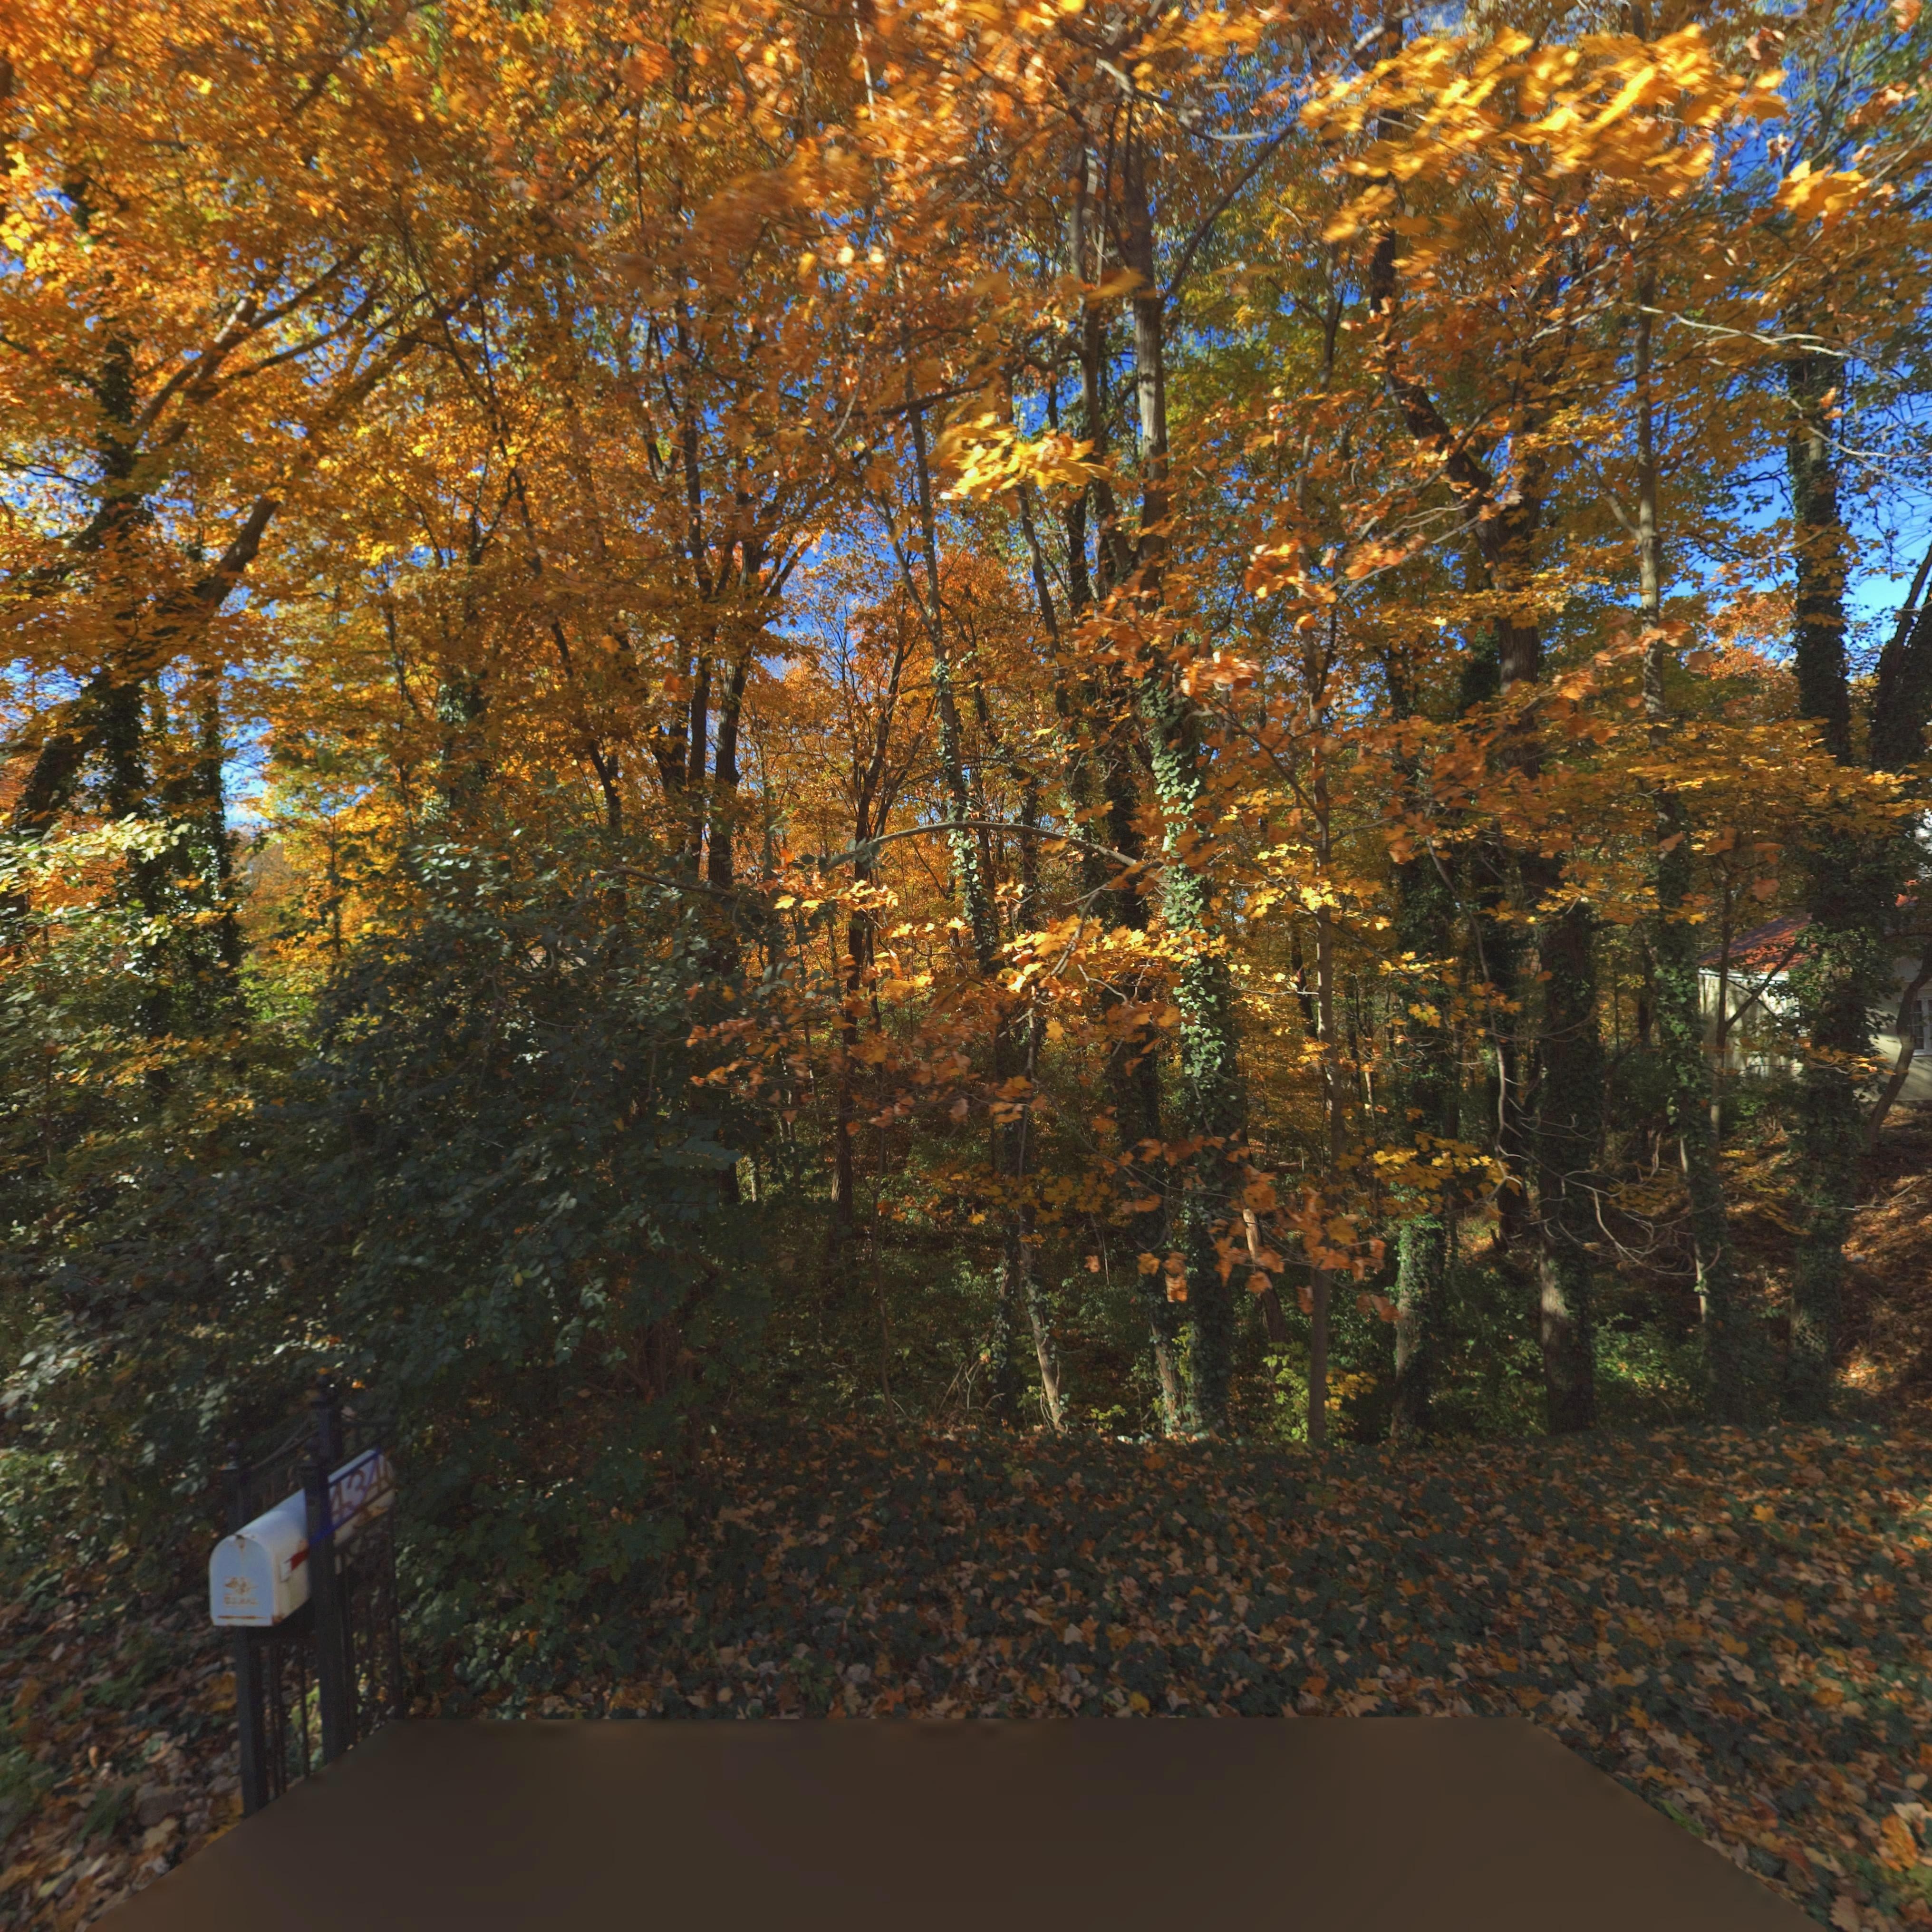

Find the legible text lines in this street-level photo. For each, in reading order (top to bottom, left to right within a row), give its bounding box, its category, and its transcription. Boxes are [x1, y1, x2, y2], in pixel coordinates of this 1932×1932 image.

[325, 1443, 406, 1524] StreetNumber: 4340